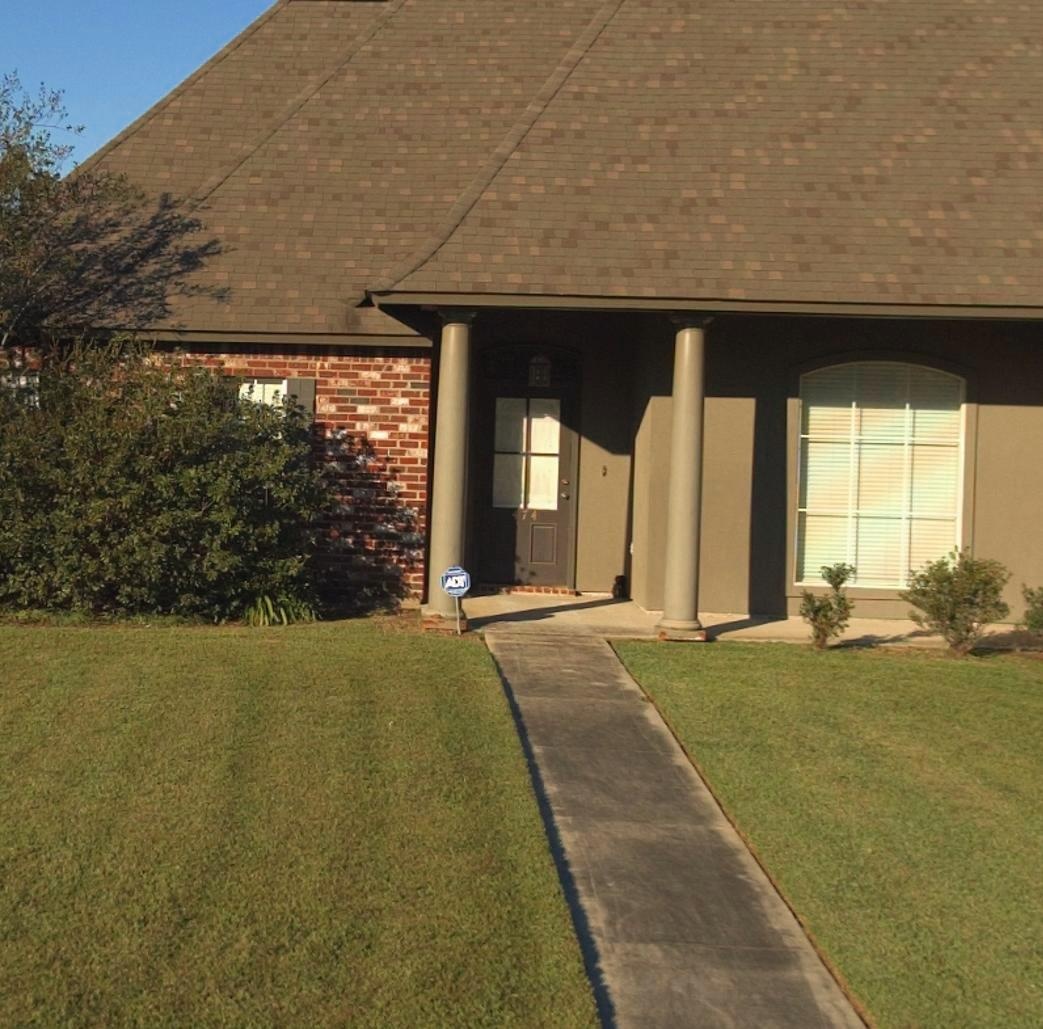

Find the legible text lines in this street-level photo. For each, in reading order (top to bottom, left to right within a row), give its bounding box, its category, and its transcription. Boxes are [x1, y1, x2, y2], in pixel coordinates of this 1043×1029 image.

[510, 509, 538, 521] StreetNumber: 474
[444, 576, 467, 590] None: ADT